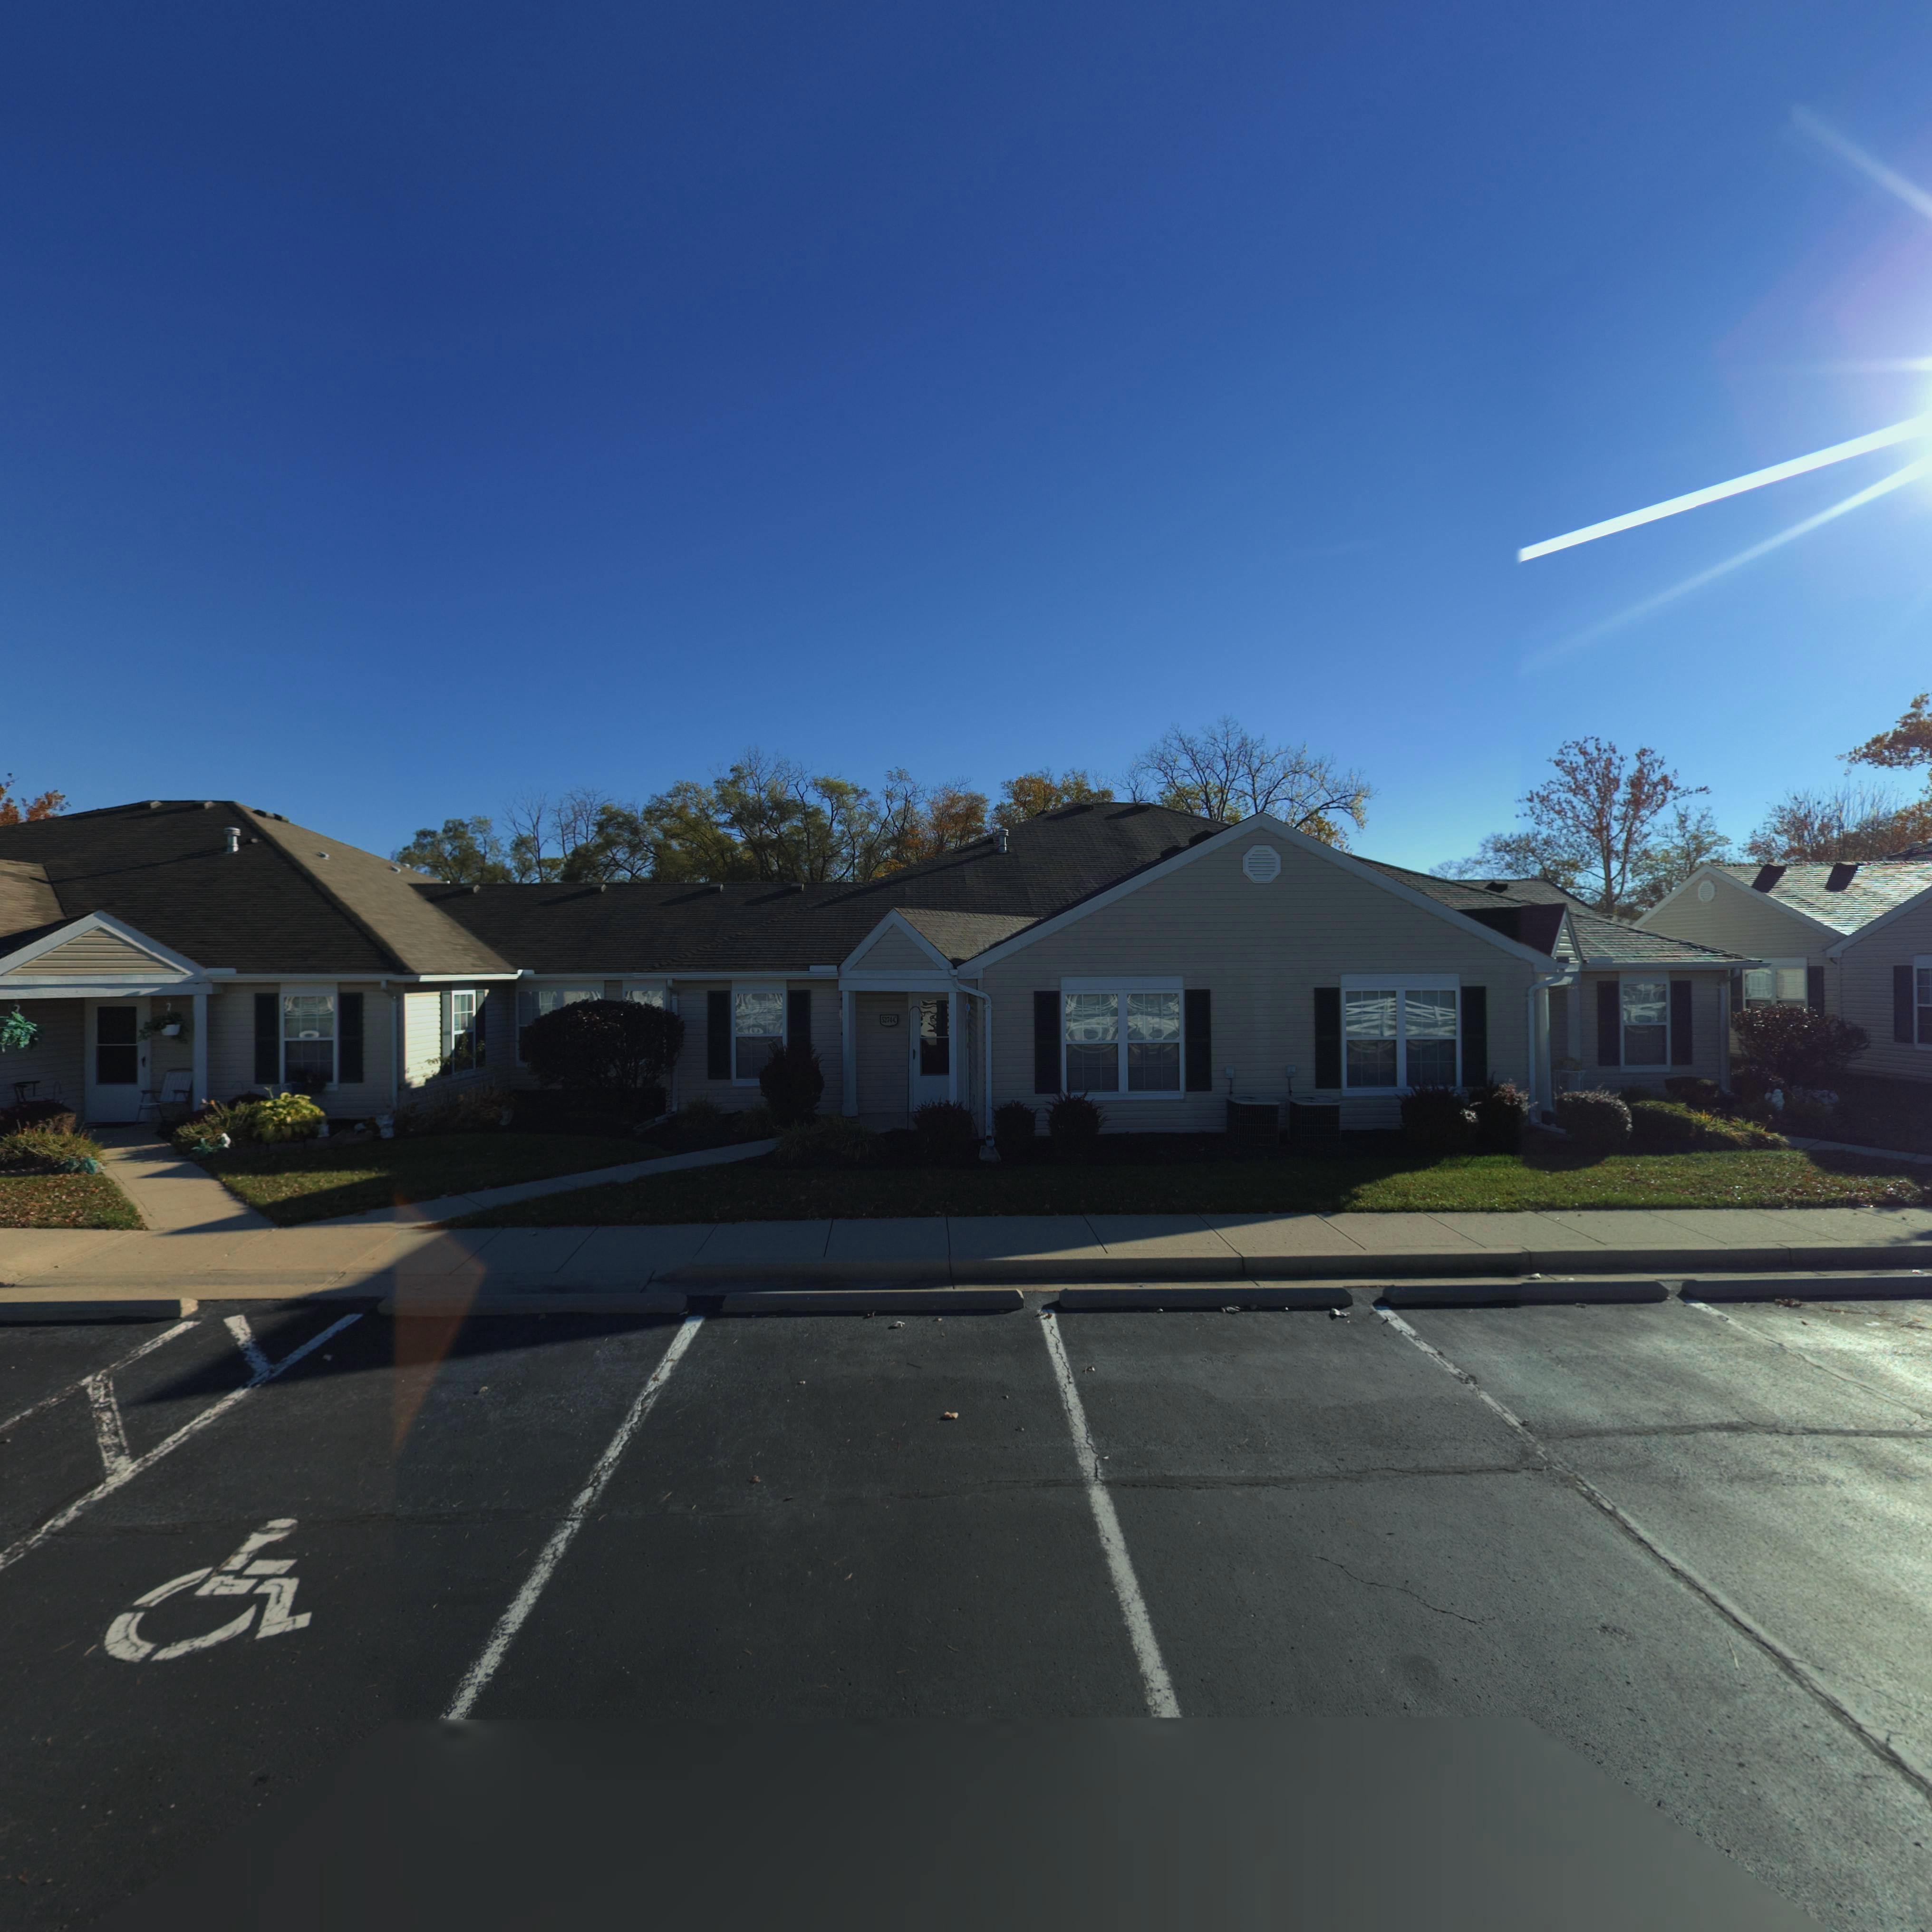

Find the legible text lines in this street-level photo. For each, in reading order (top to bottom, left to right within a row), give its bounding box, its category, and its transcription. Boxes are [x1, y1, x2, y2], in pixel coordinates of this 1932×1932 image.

[880, 1016, 897, 1024] StreetNumber: 5274-C